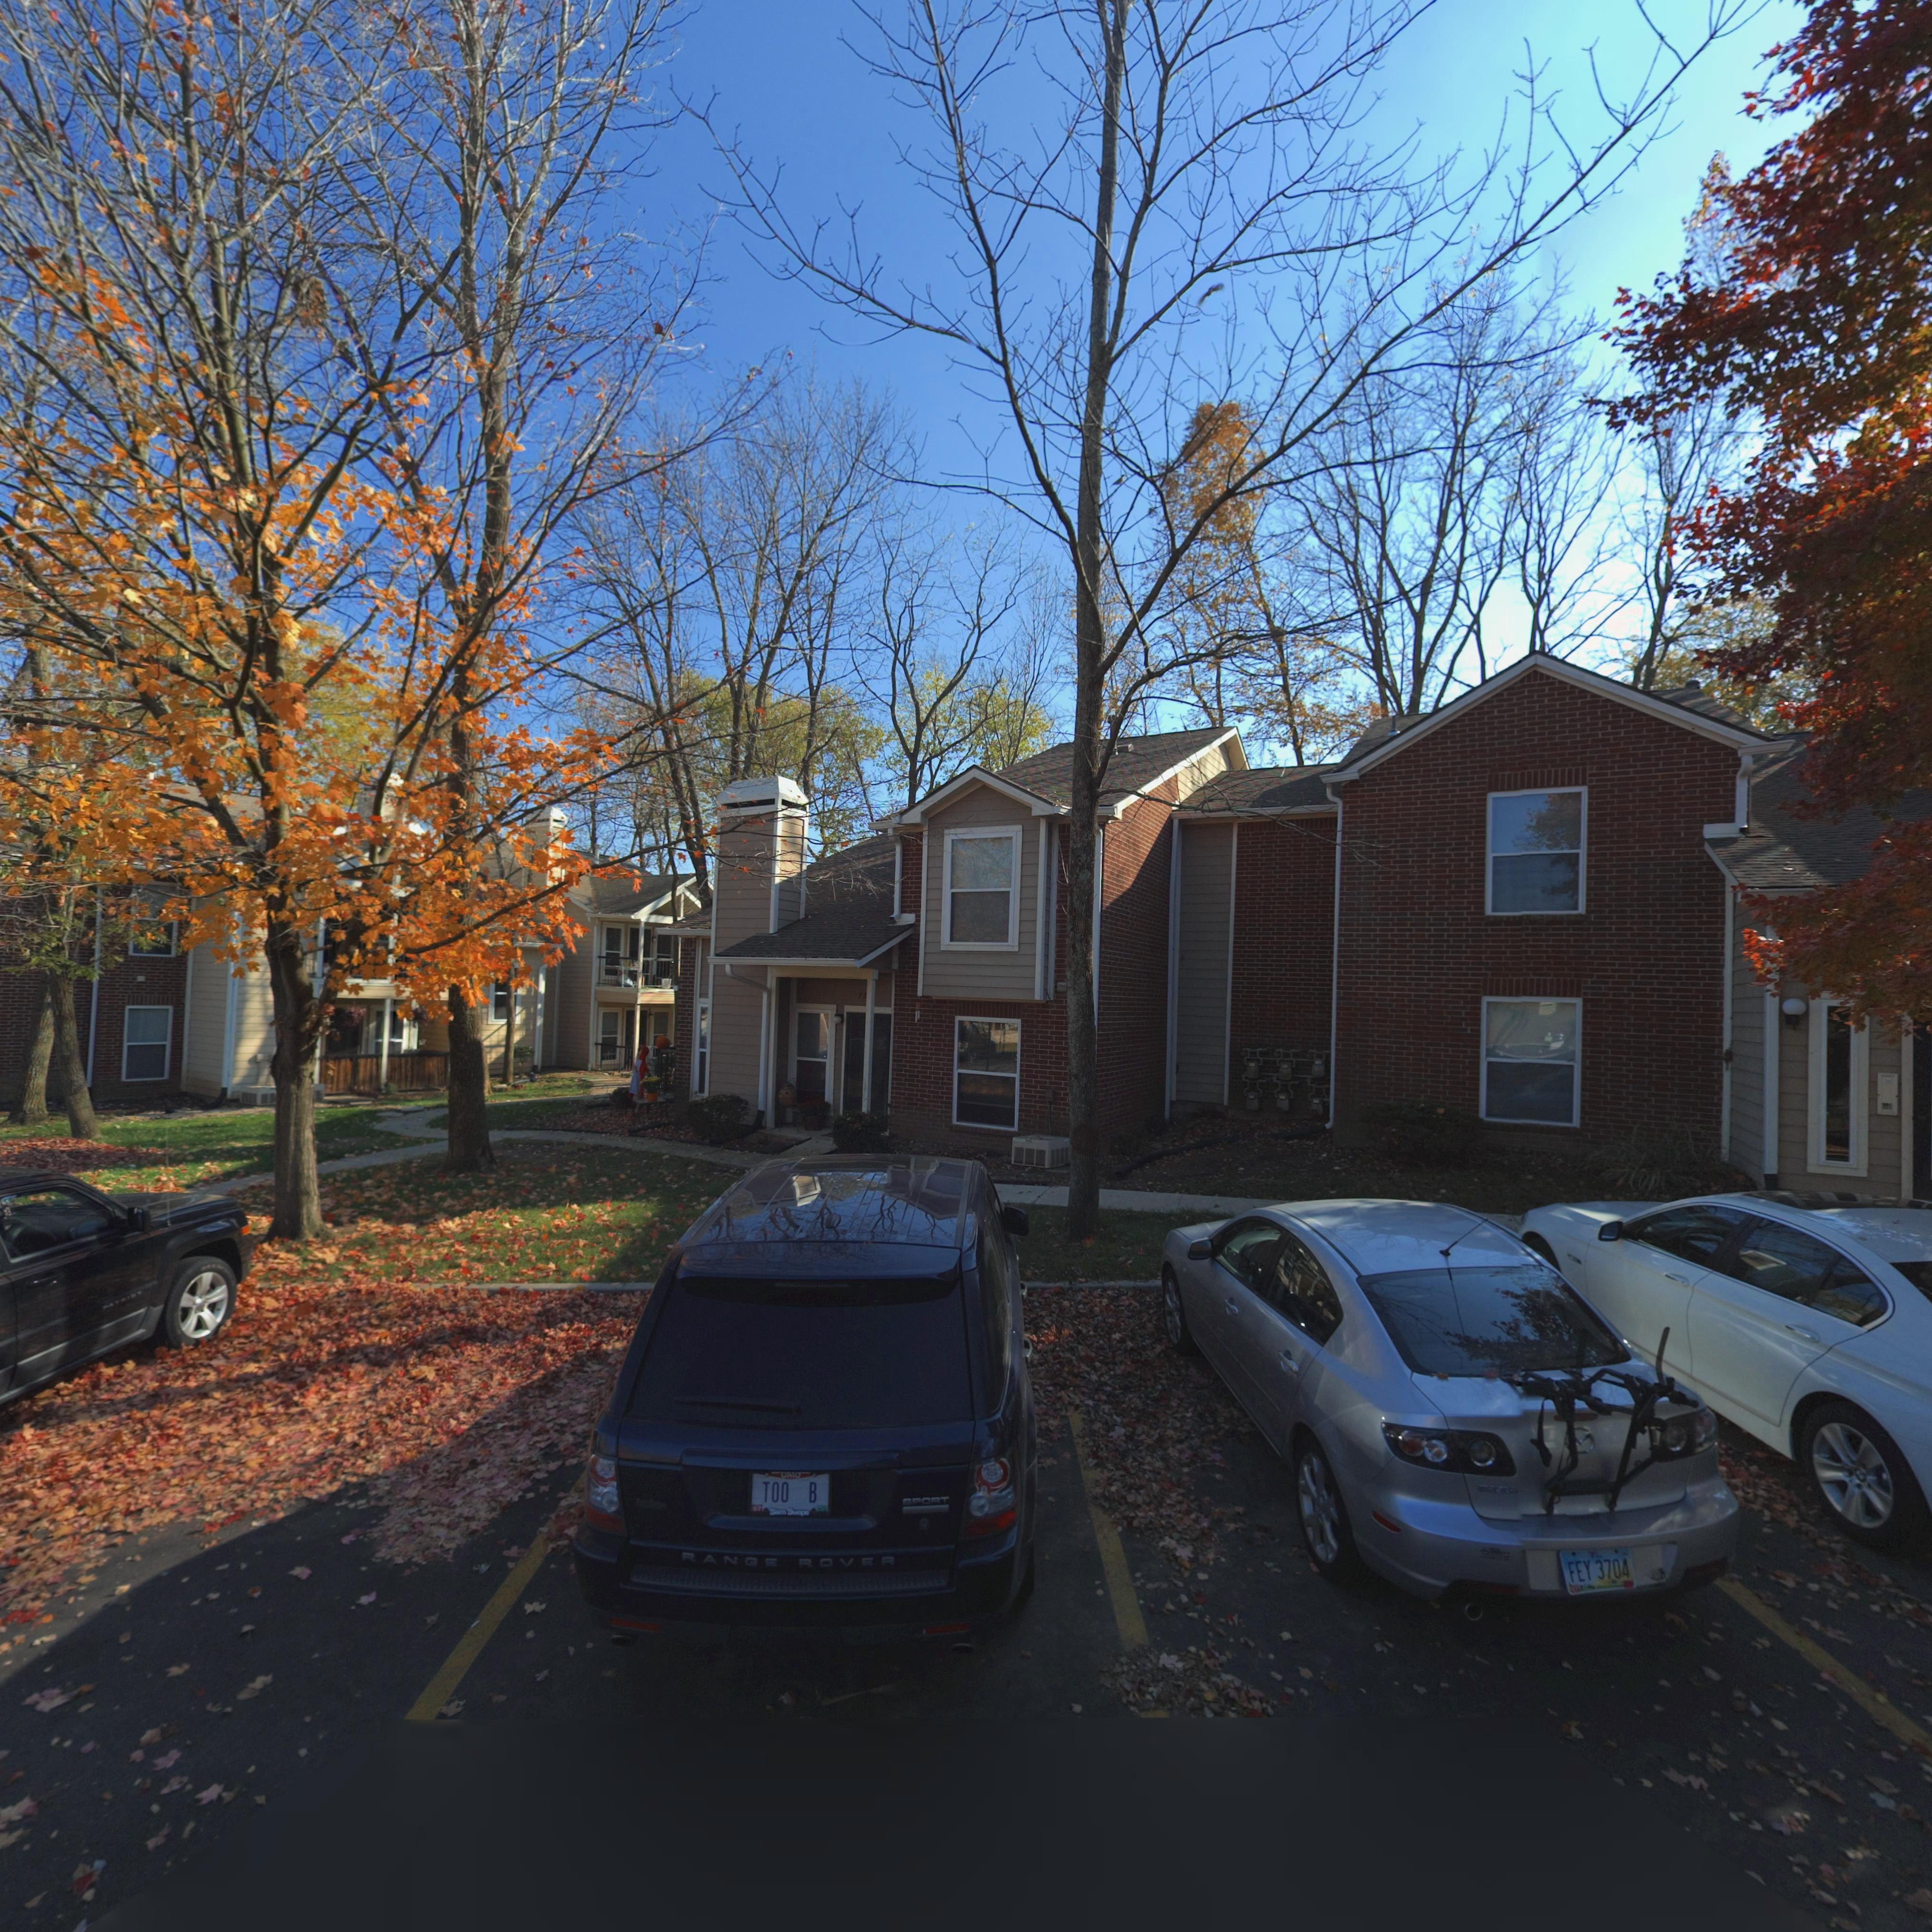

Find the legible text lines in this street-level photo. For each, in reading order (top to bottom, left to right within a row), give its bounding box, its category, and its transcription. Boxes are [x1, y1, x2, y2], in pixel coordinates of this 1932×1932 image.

[857, 990, 868, 1001] StreetNumber: 7*
[761, 1480, 818, 1504] None: TOO B
[902, 1496, 950, 1506] None: SPORT
[752, 1504, 763, 1513] None: 57
[769, 1507, 810, 1517] None: S*** S****
[680, 1549, 898, 1571] None: RANGE ROVER
[1566, 1556, 1632, 1584] None: FEY 3704